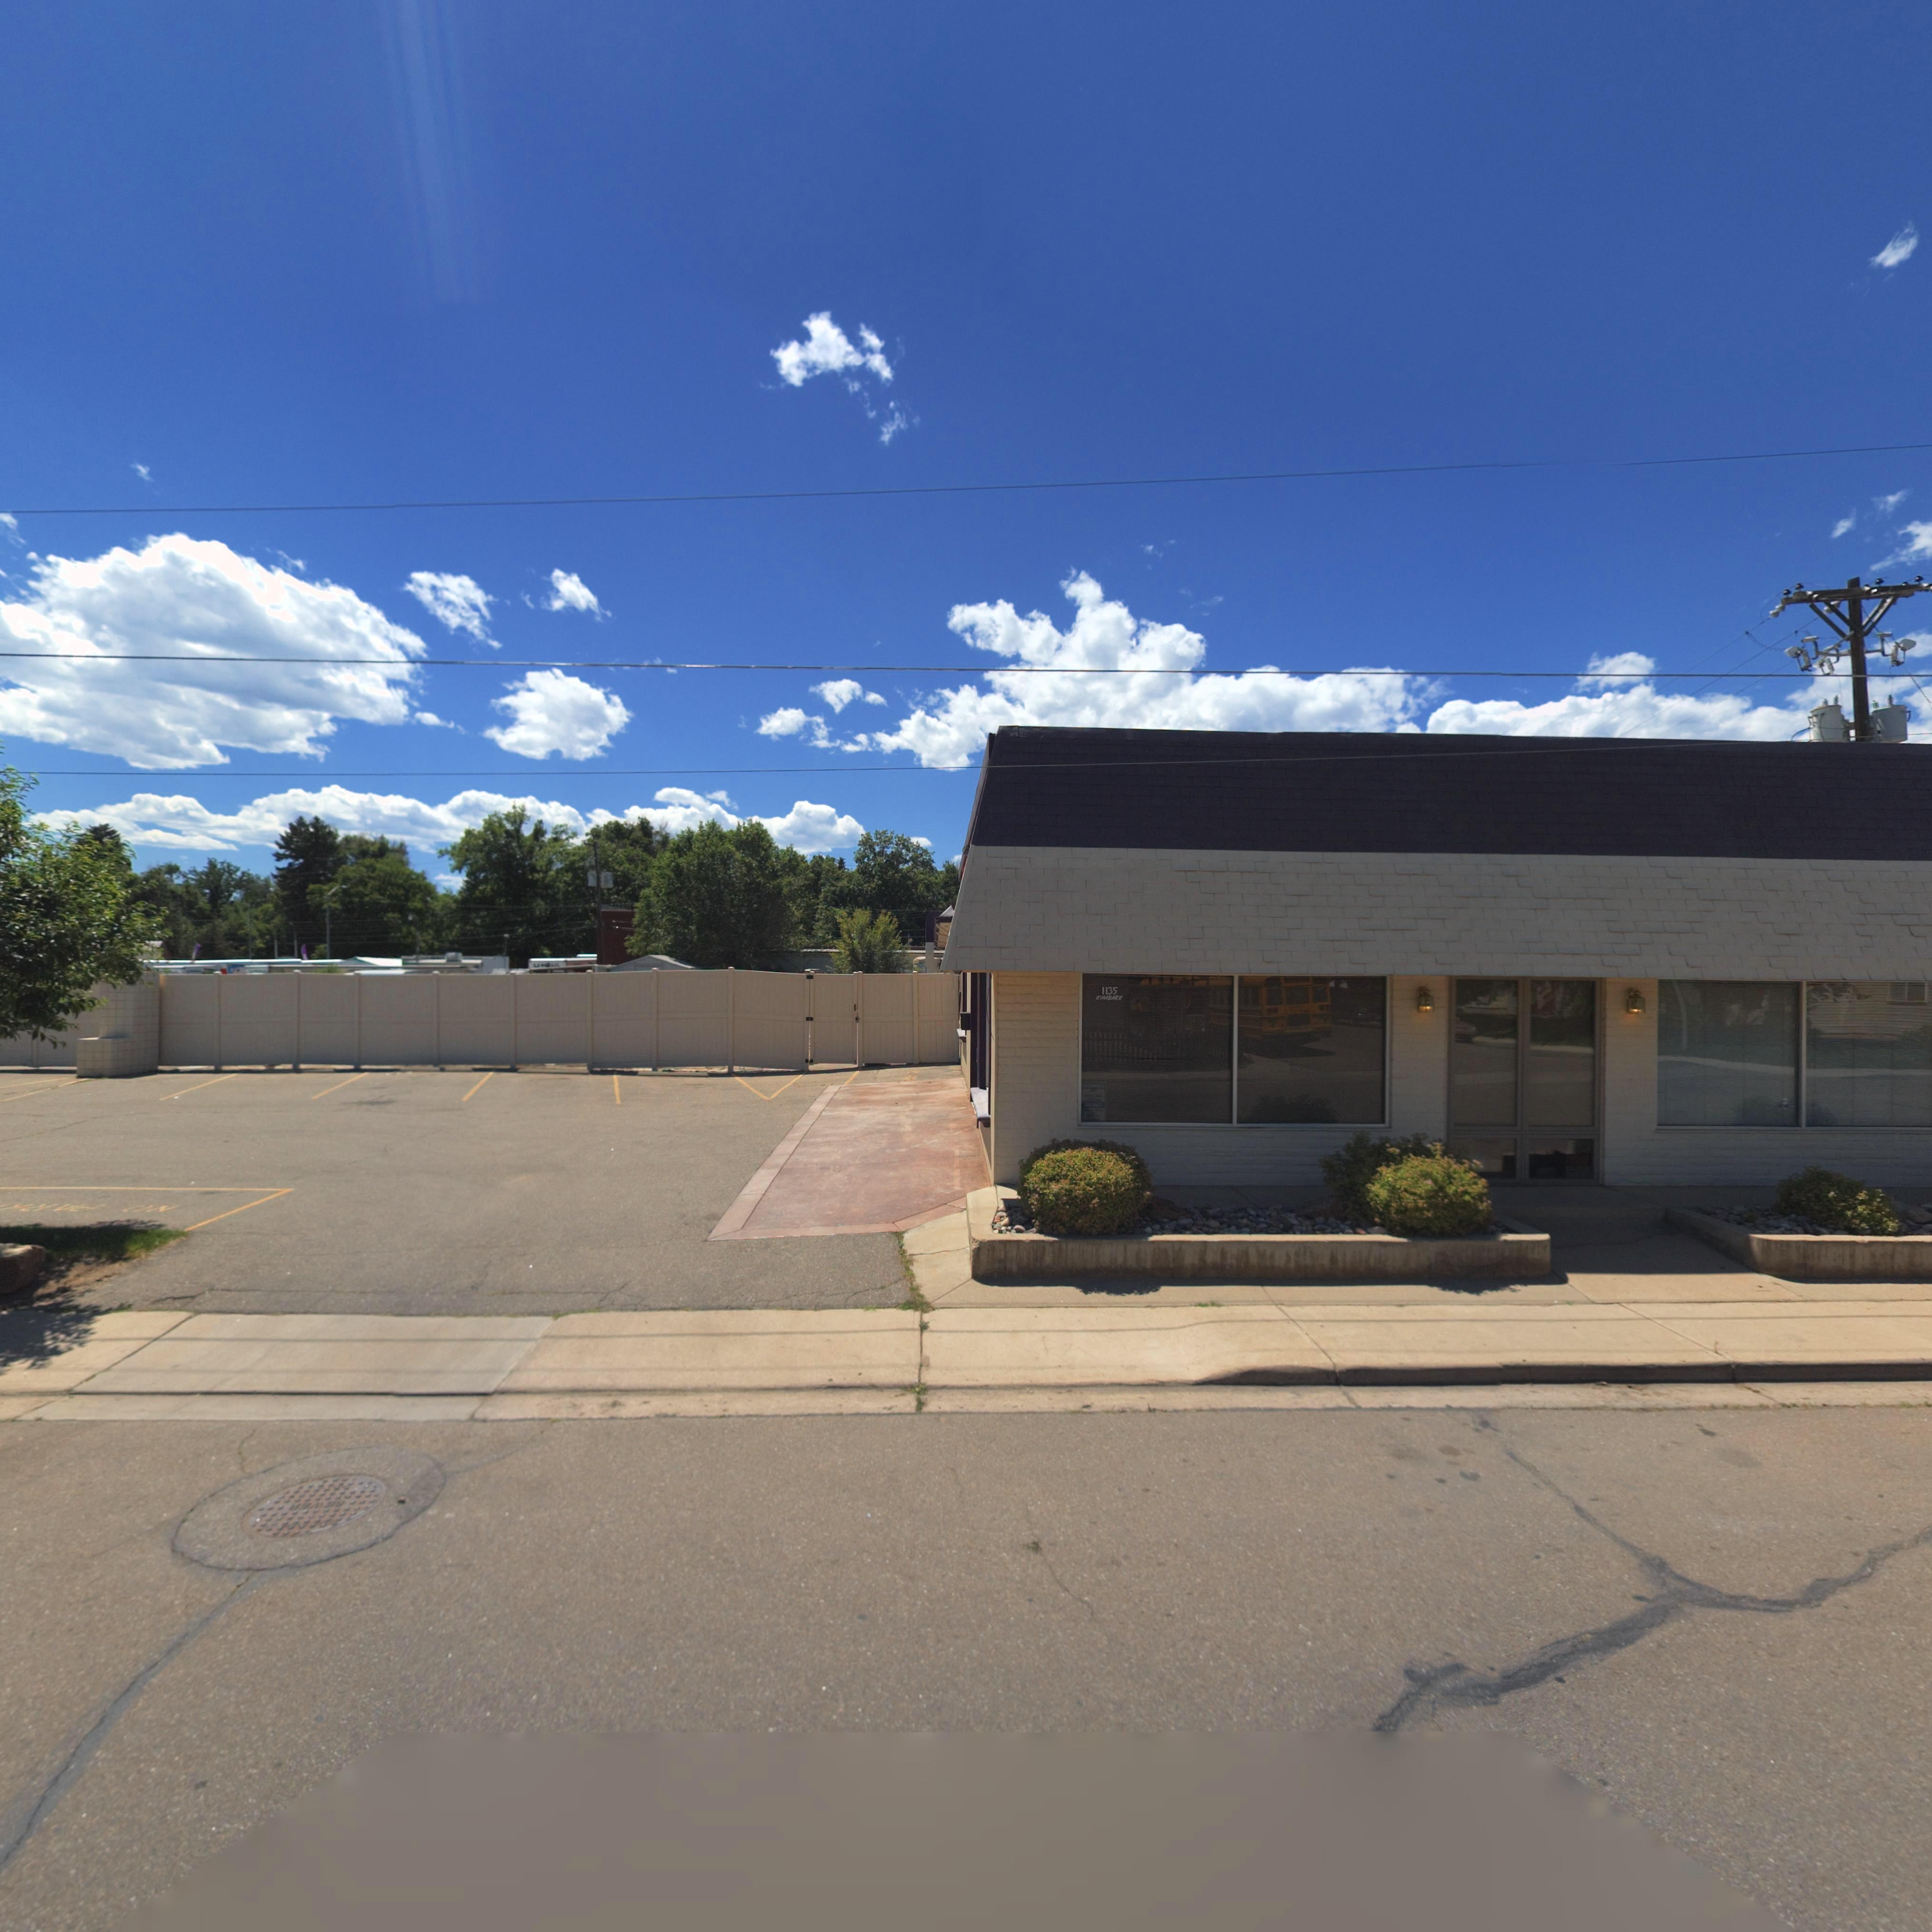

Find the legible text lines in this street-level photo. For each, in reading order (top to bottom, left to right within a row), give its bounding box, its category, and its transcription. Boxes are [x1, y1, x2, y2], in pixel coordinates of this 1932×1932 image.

[1101, 985, 1118, 995] StreetNumber: 1135
[1095, 995, 1124, 1001] StreetName: KIMBARK